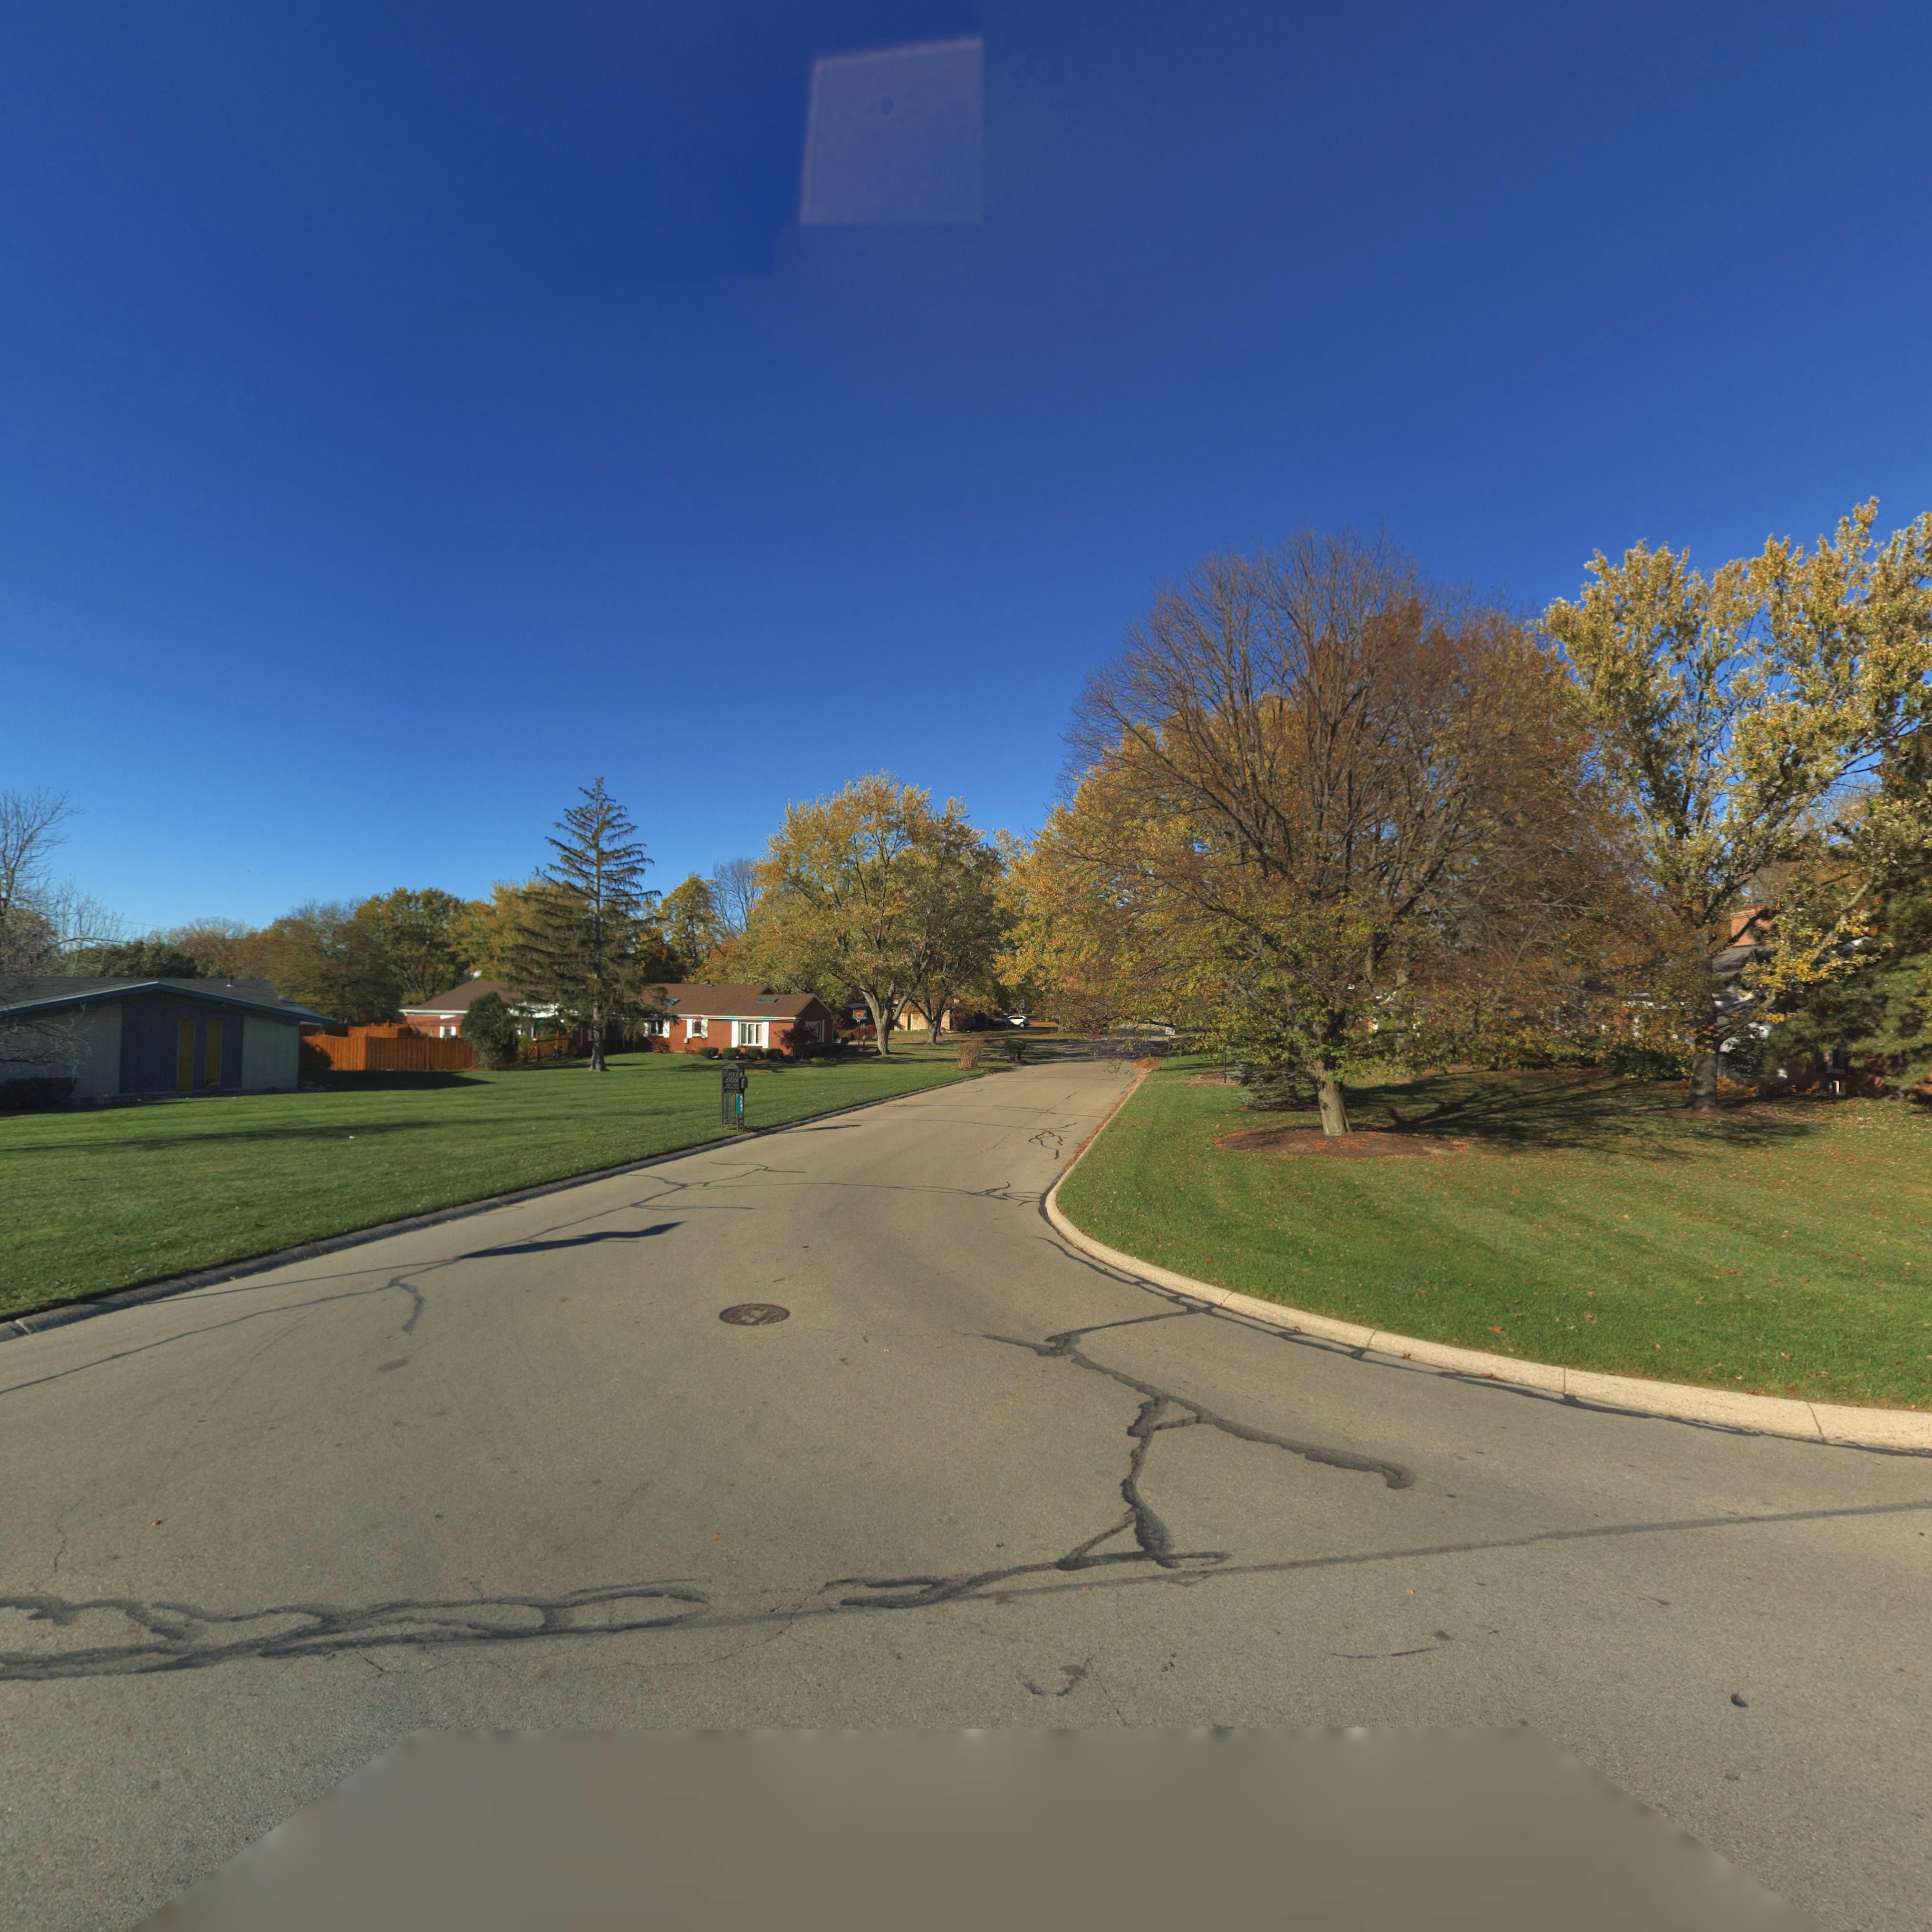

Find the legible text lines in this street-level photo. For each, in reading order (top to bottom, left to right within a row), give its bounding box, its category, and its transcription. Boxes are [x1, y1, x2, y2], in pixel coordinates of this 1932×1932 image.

[739, 1094, 743, 1112] StreetNumber: 5647